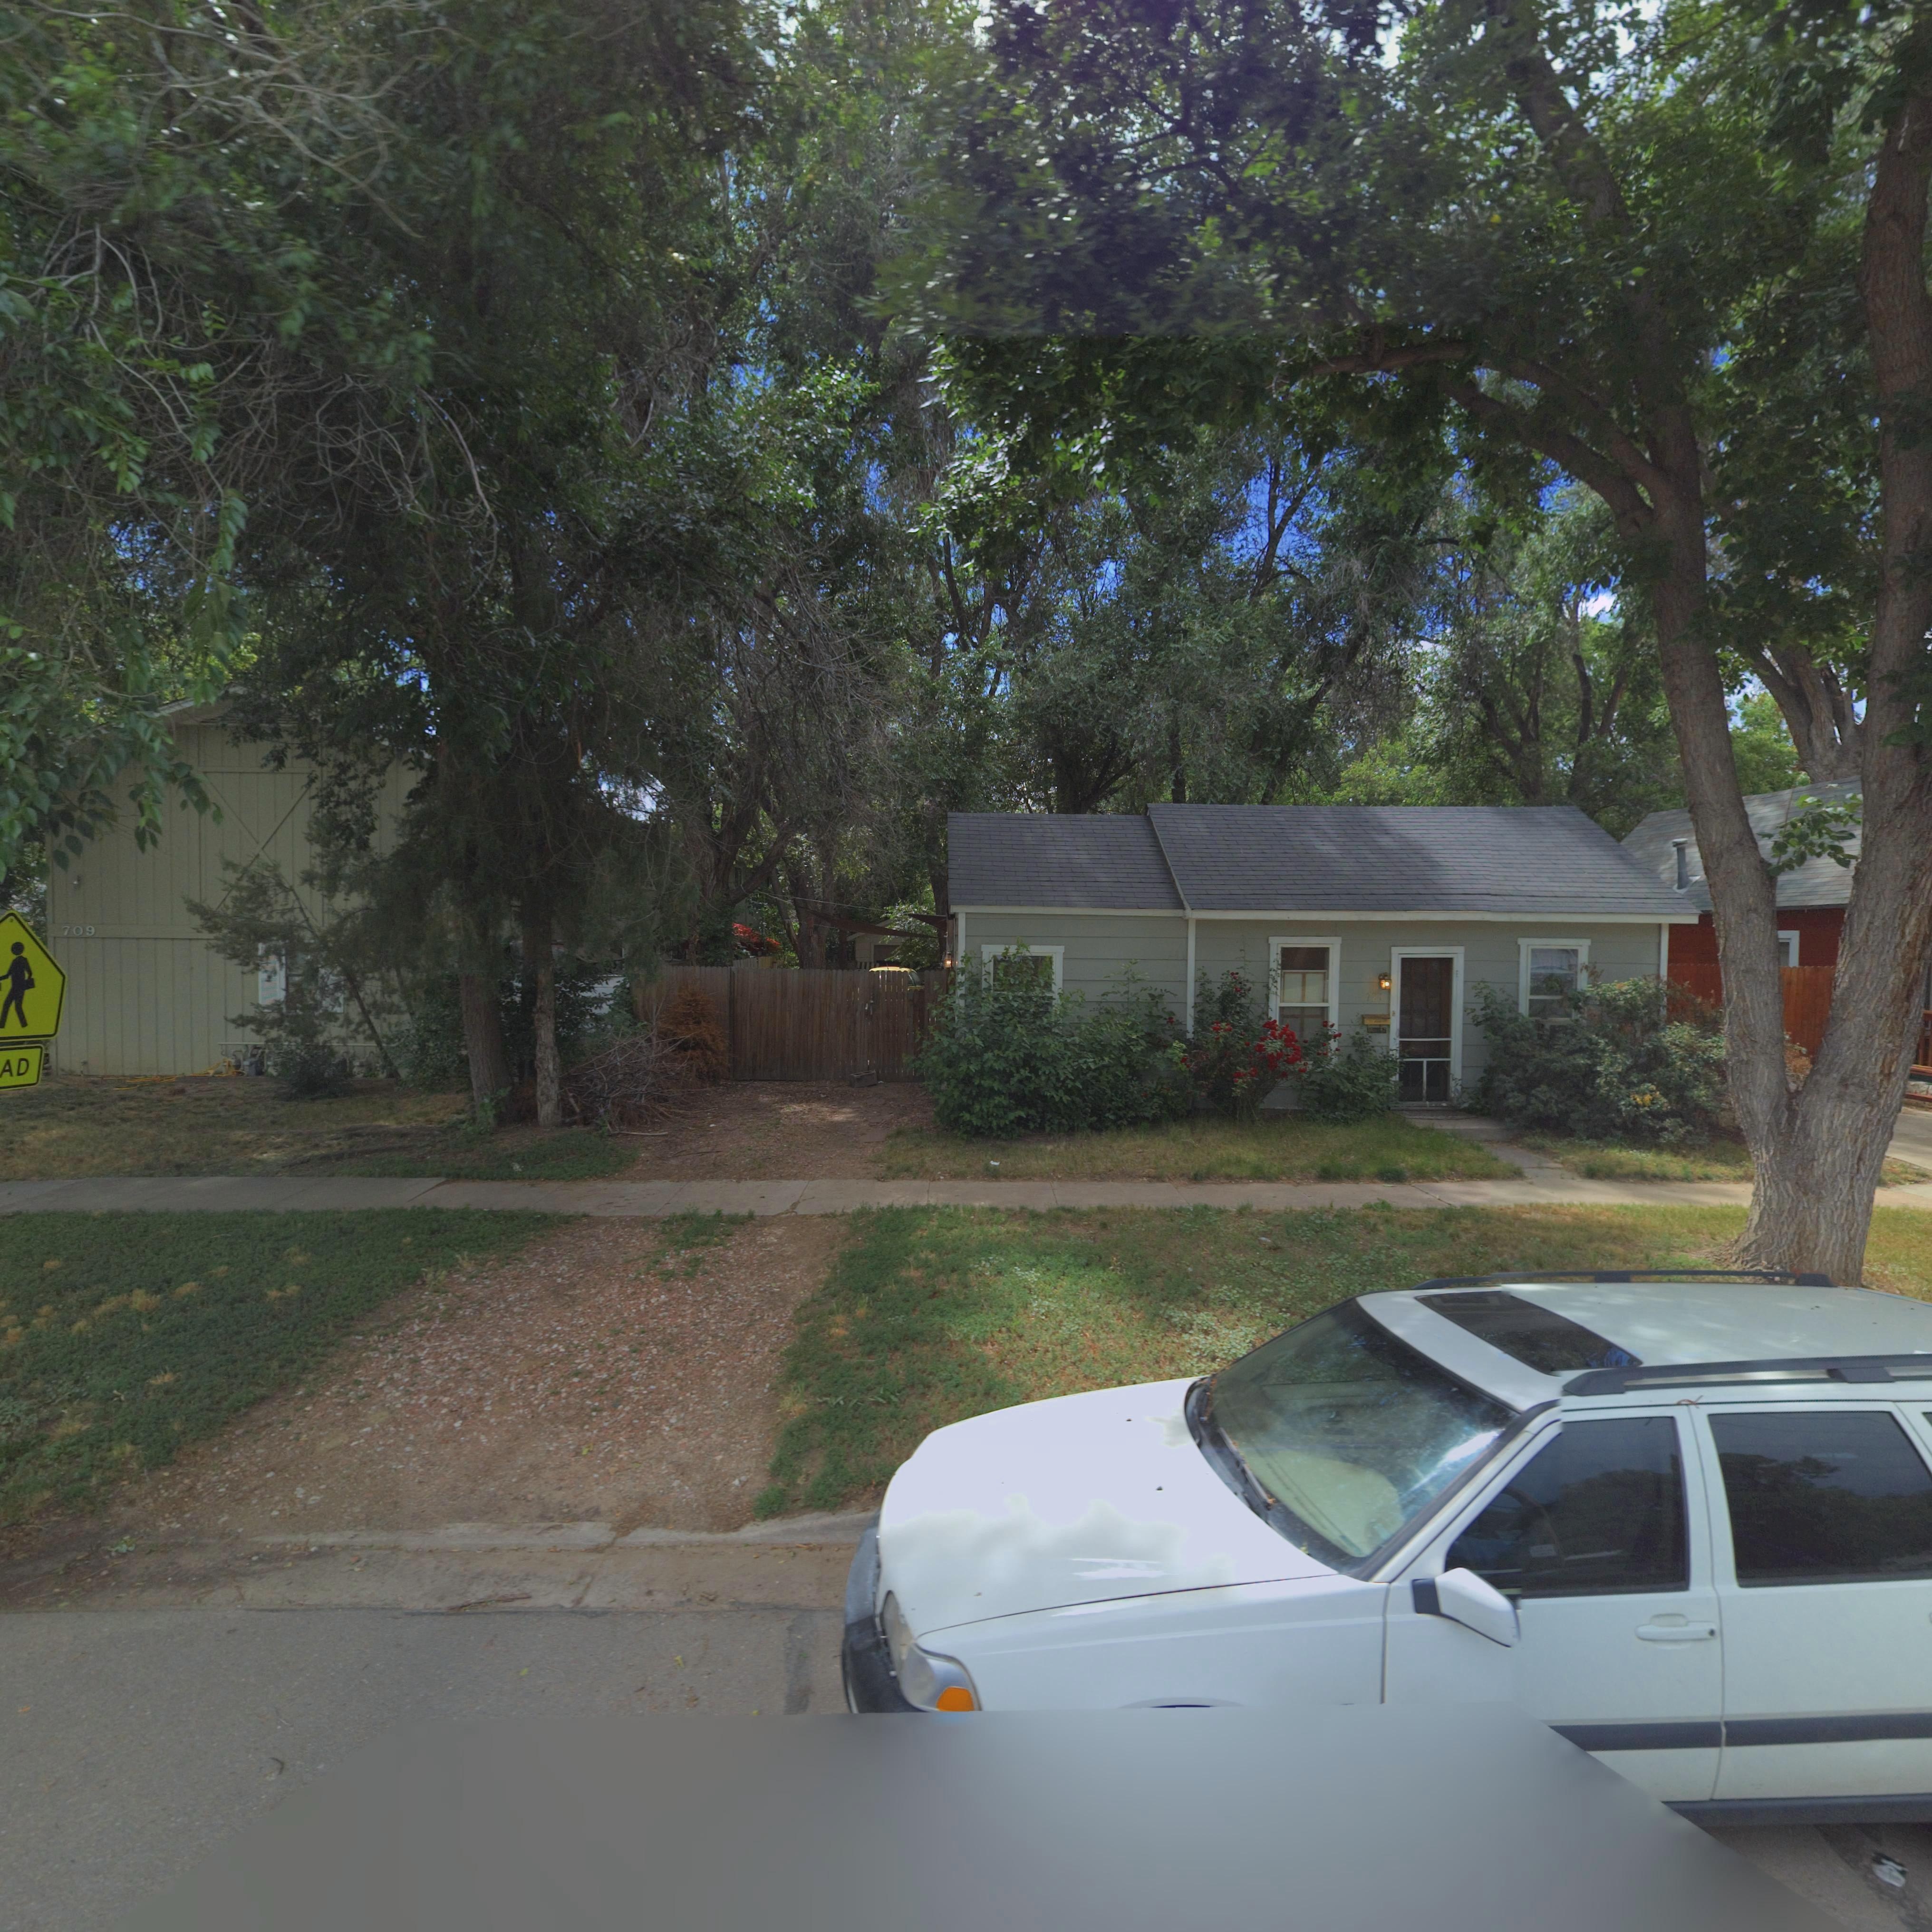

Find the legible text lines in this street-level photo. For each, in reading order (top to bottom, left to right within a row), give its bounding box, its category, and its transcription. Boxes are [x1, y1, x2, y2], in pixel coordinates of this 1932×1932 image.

[62, 925, 94, 937] StreetNumber: 709
[1366, 991, 1382, 1001] StreetNumber: 721